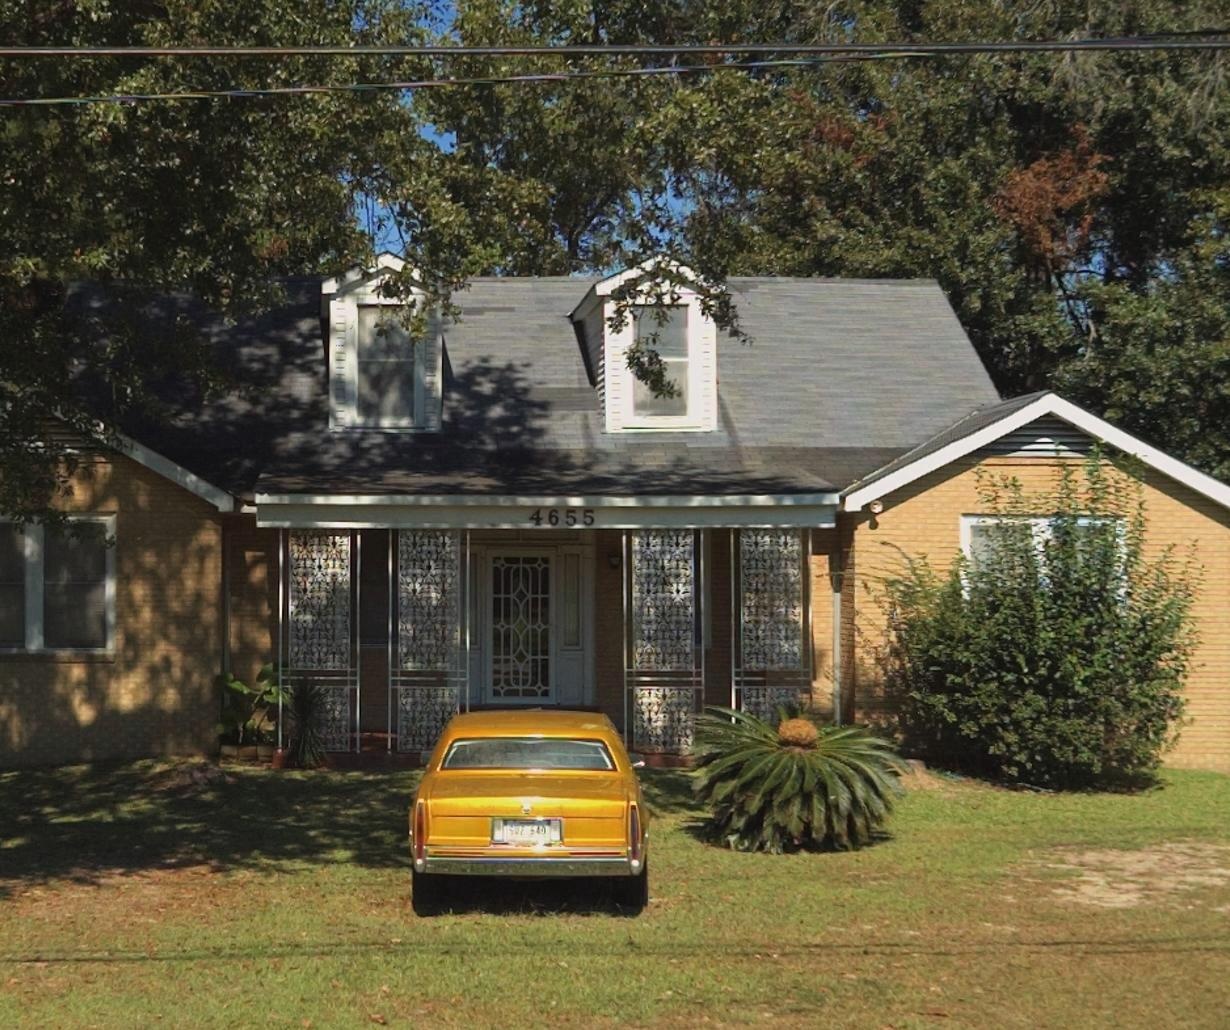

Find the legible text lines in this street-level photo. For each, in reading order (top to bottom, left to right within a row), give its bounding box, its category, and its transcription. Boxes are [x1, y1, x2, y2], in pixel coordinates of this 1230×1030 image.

[528, 508, 596, 527] StreetNumber: 4655